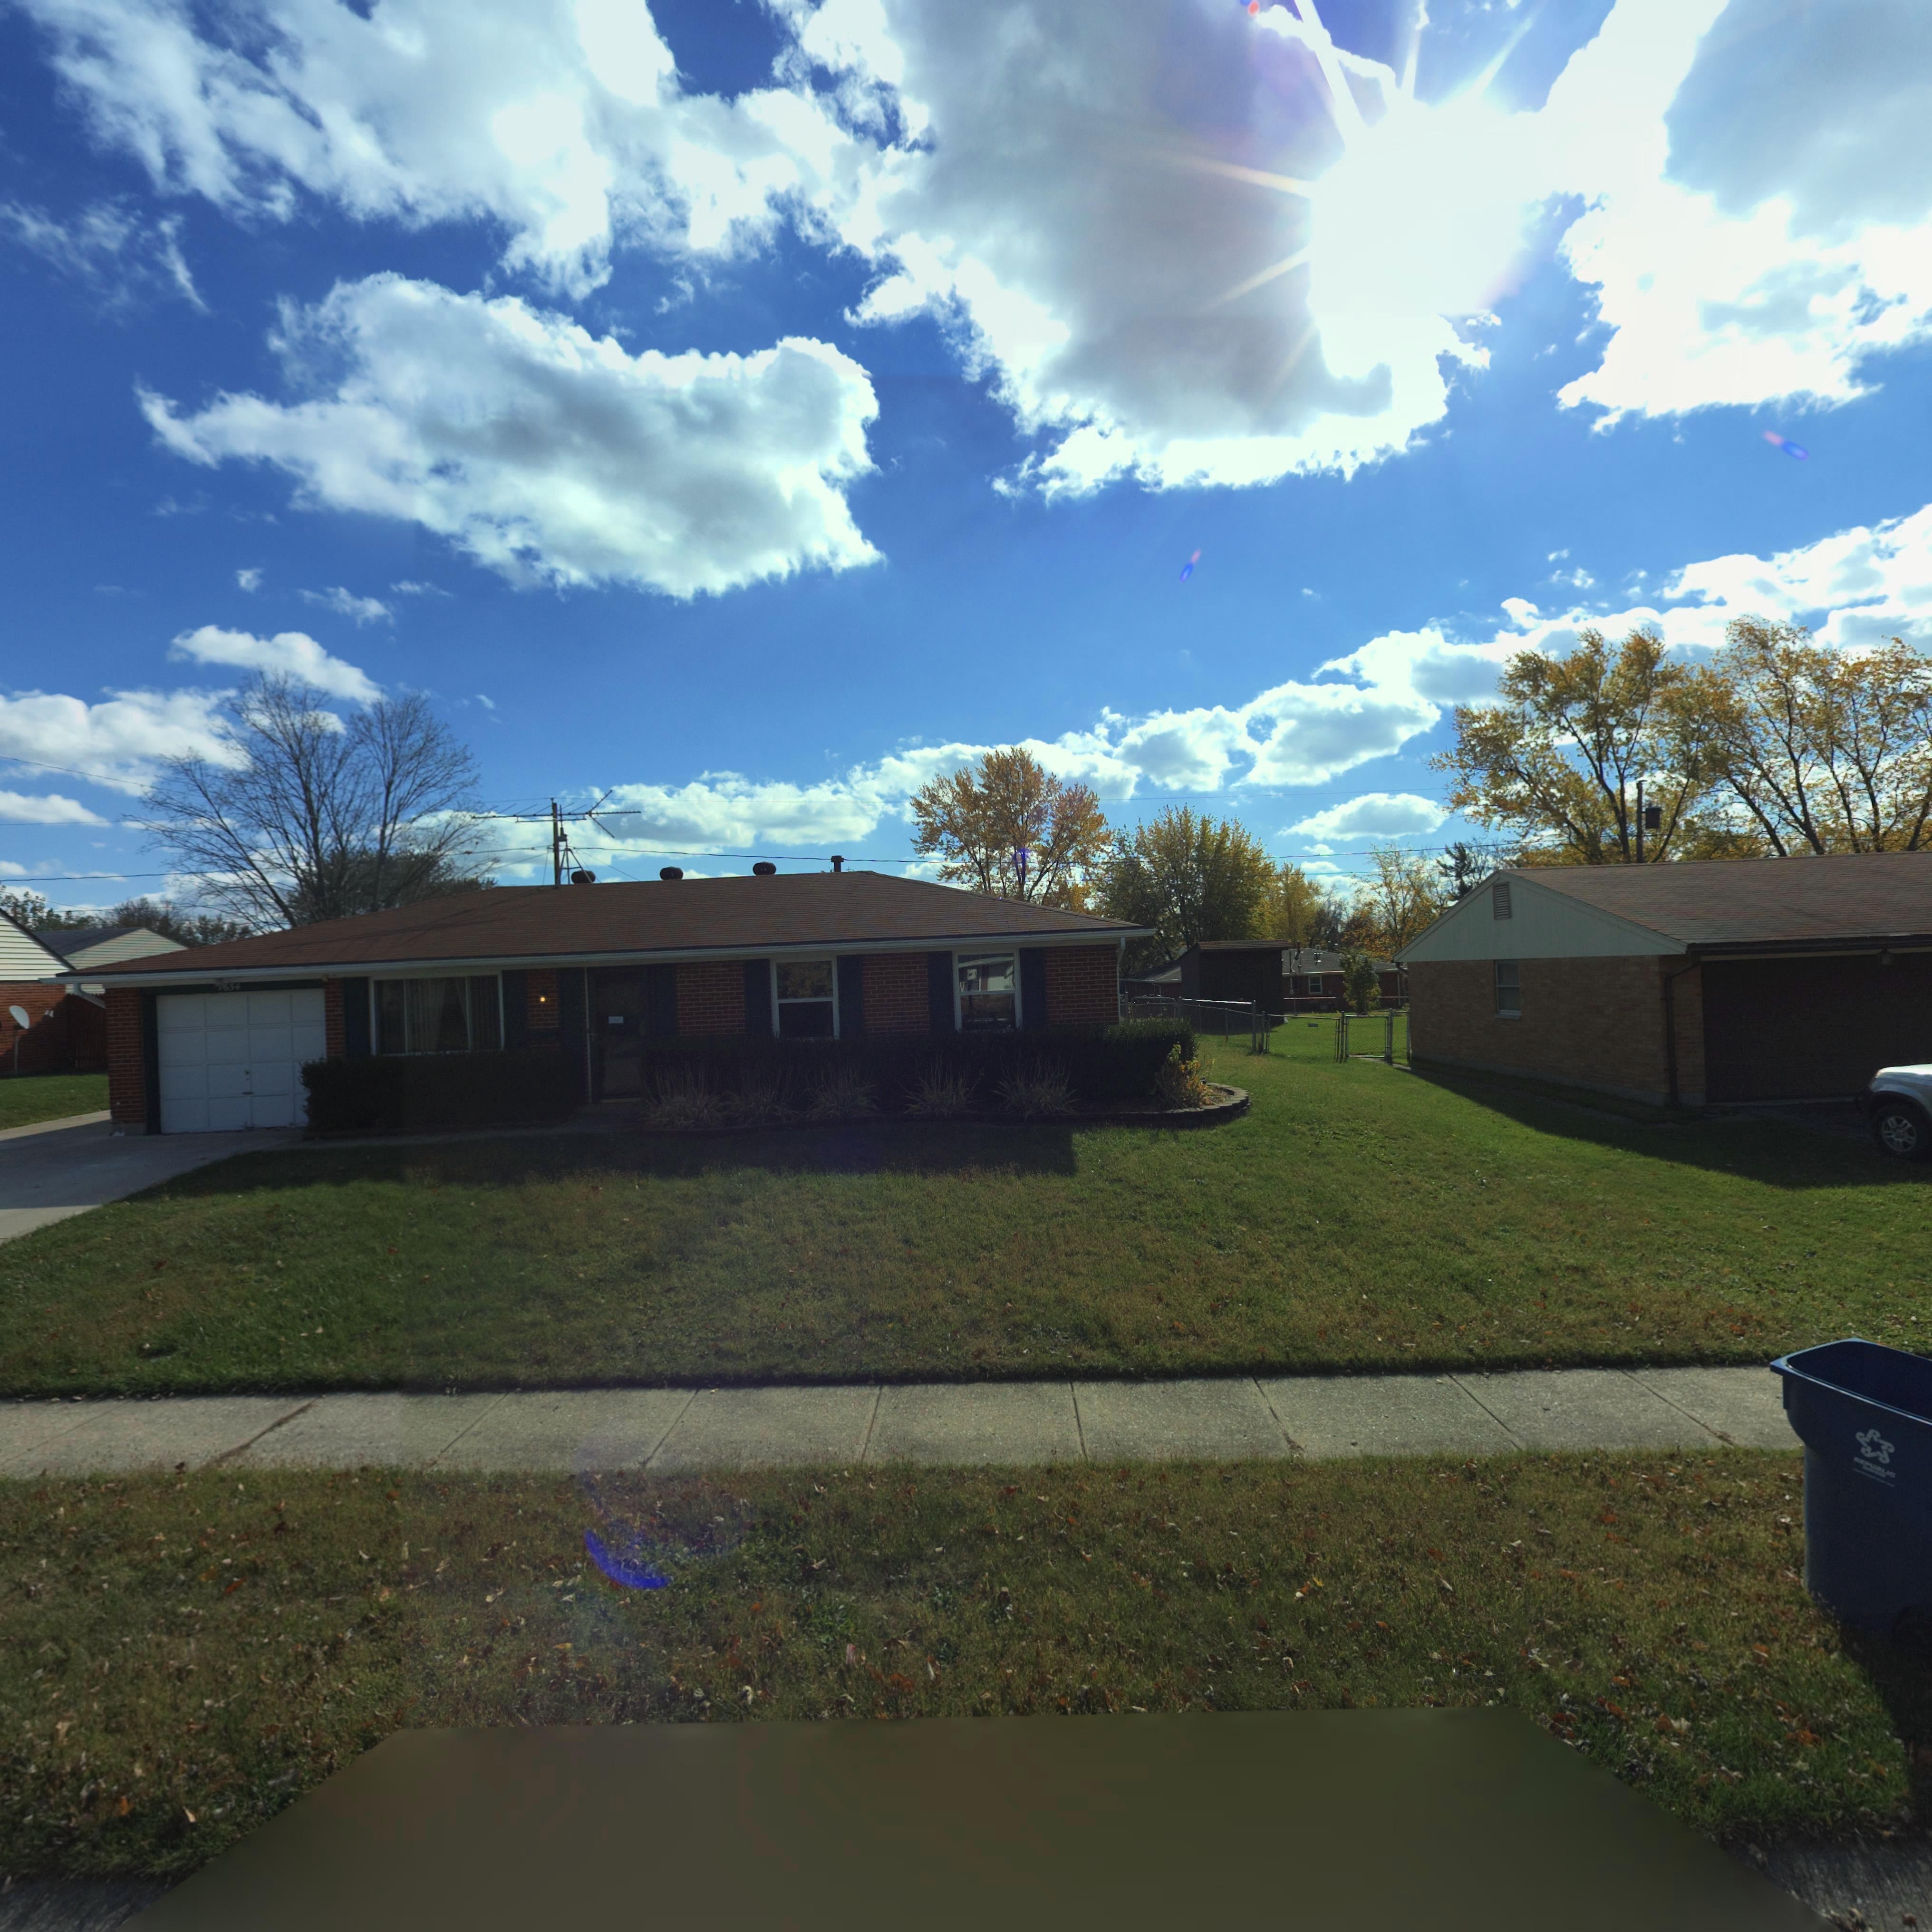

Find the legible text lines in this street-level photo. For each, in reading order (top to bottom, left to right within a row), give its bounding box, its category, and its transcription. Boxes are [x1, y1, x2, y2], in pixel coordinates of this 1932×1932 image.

[213, 982, 241, 992] StreetNumber: 7654